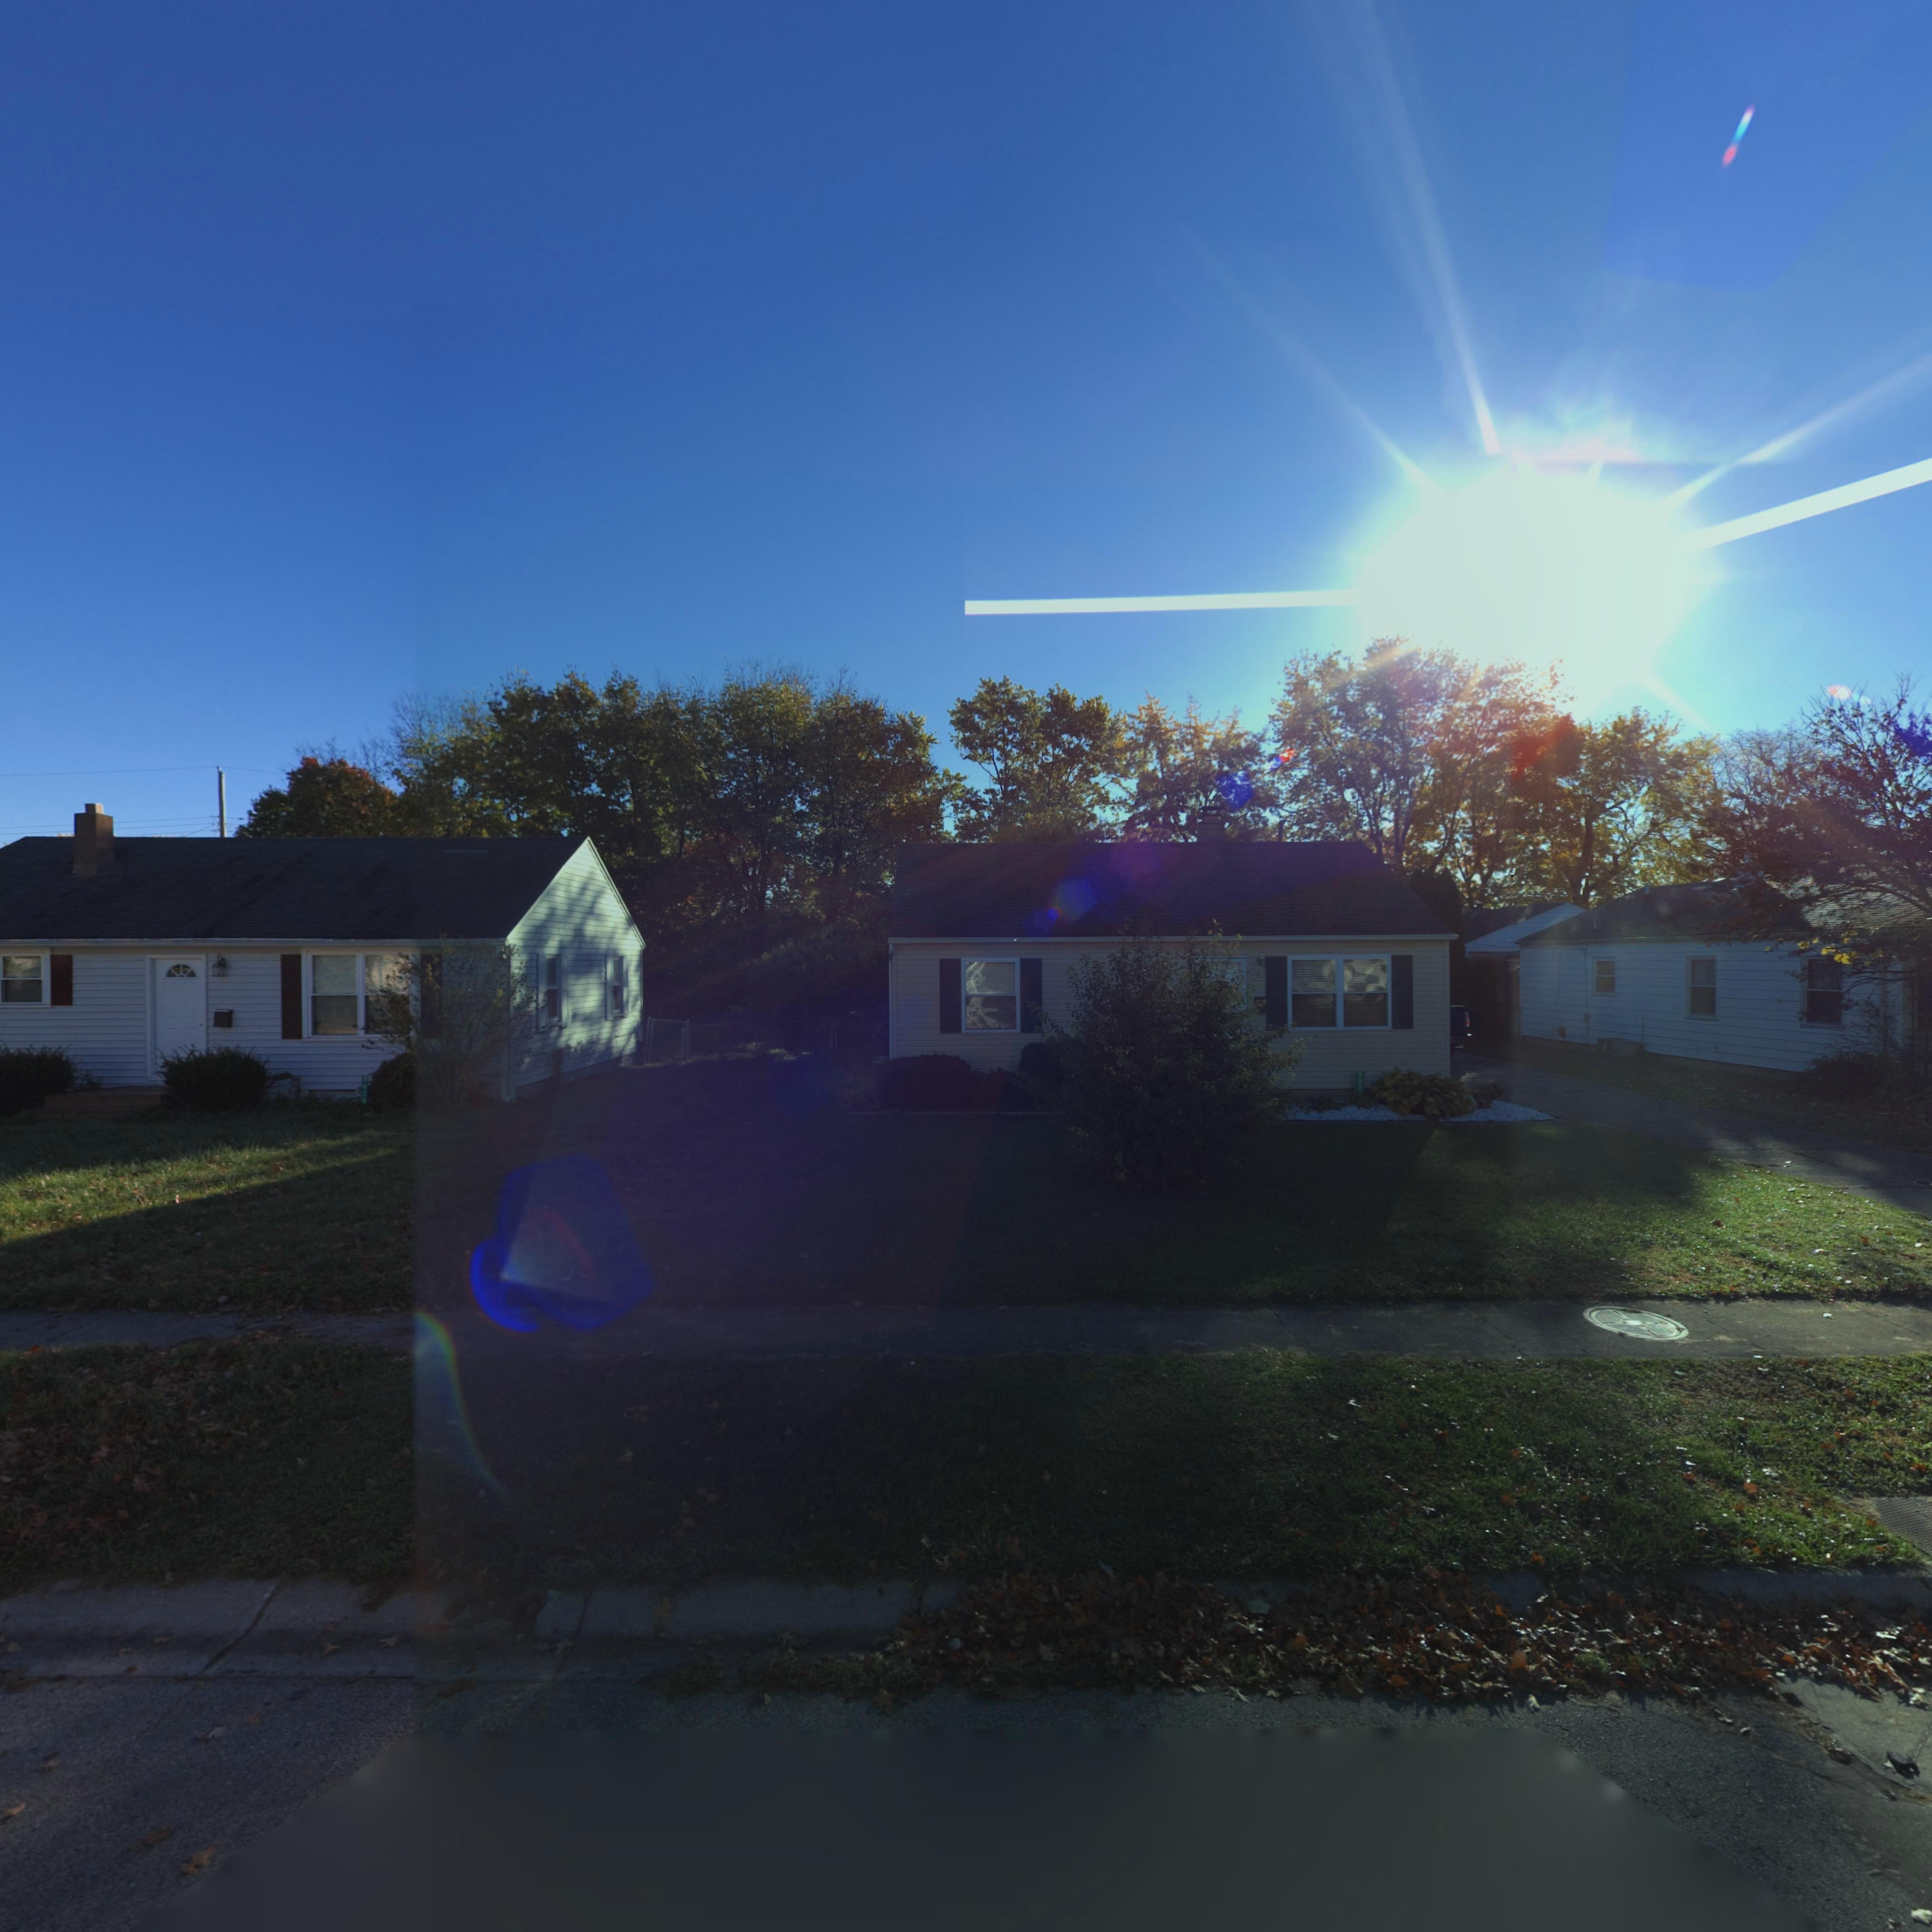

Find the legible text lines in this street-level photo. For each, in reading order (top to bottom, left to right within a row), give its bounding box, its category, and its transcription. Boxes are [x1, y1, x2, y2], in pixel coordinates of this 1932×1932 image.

[1357, 1071, 1362, 1091] StreetNumber: 503